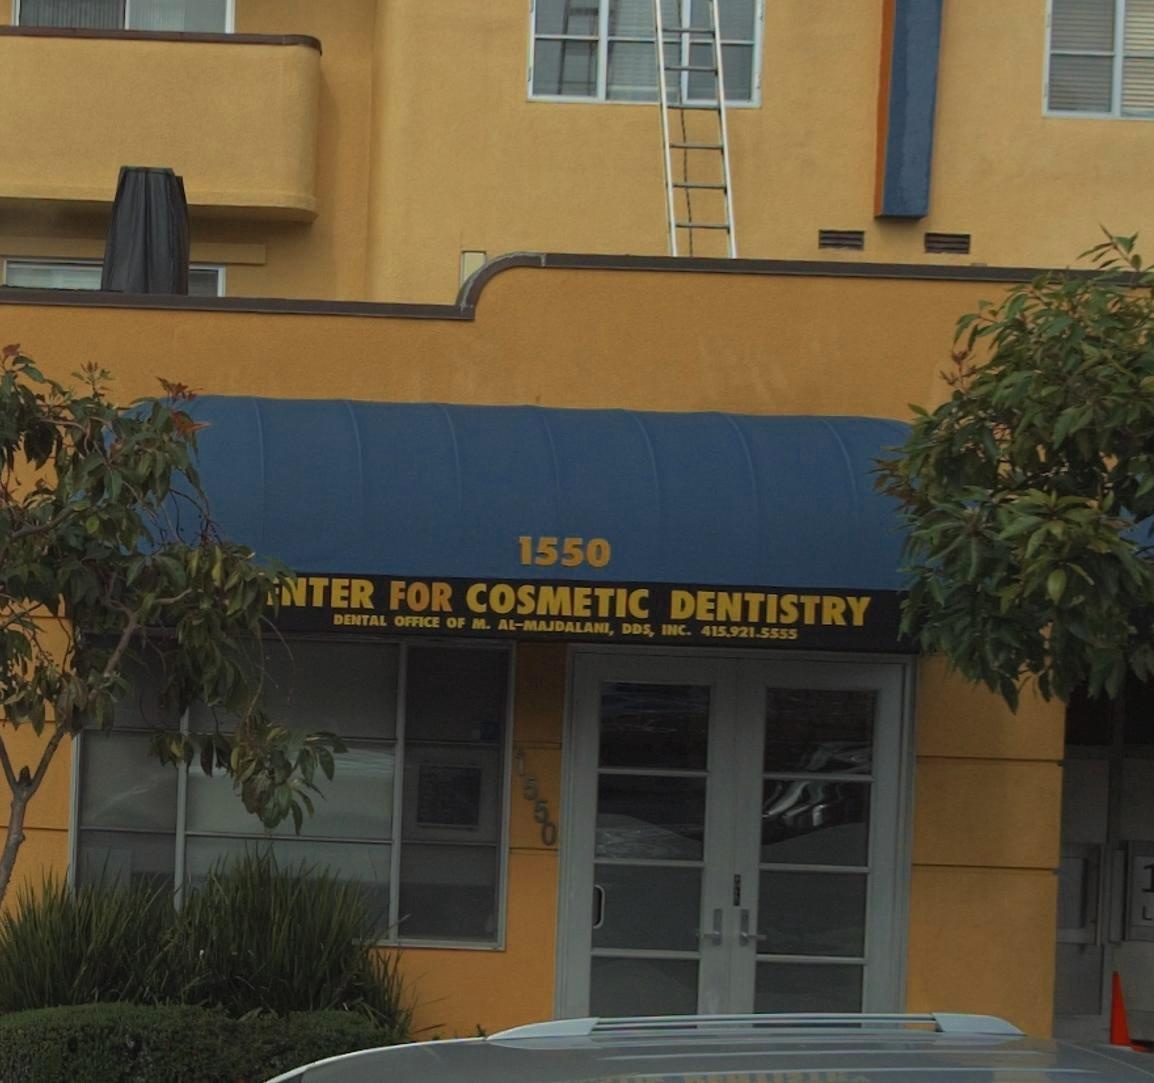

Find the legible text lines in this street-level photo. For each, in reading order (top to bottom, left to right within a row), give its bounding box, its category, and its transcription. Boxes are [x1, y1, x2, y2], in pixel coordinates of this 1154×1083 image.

[517, 535, 612, 569] StreetNumber: 1550
[332, 613, 800, 641] None: DENTAL OFFICE OF M. AL-MAJDALANI, DDS, INC. 415.921-5555
[280, 574, 873, 628] BusinessName: NTER FOR COSMETIC DENTISTRY
[515, 750, 558, 847] StreetNumber: 1550